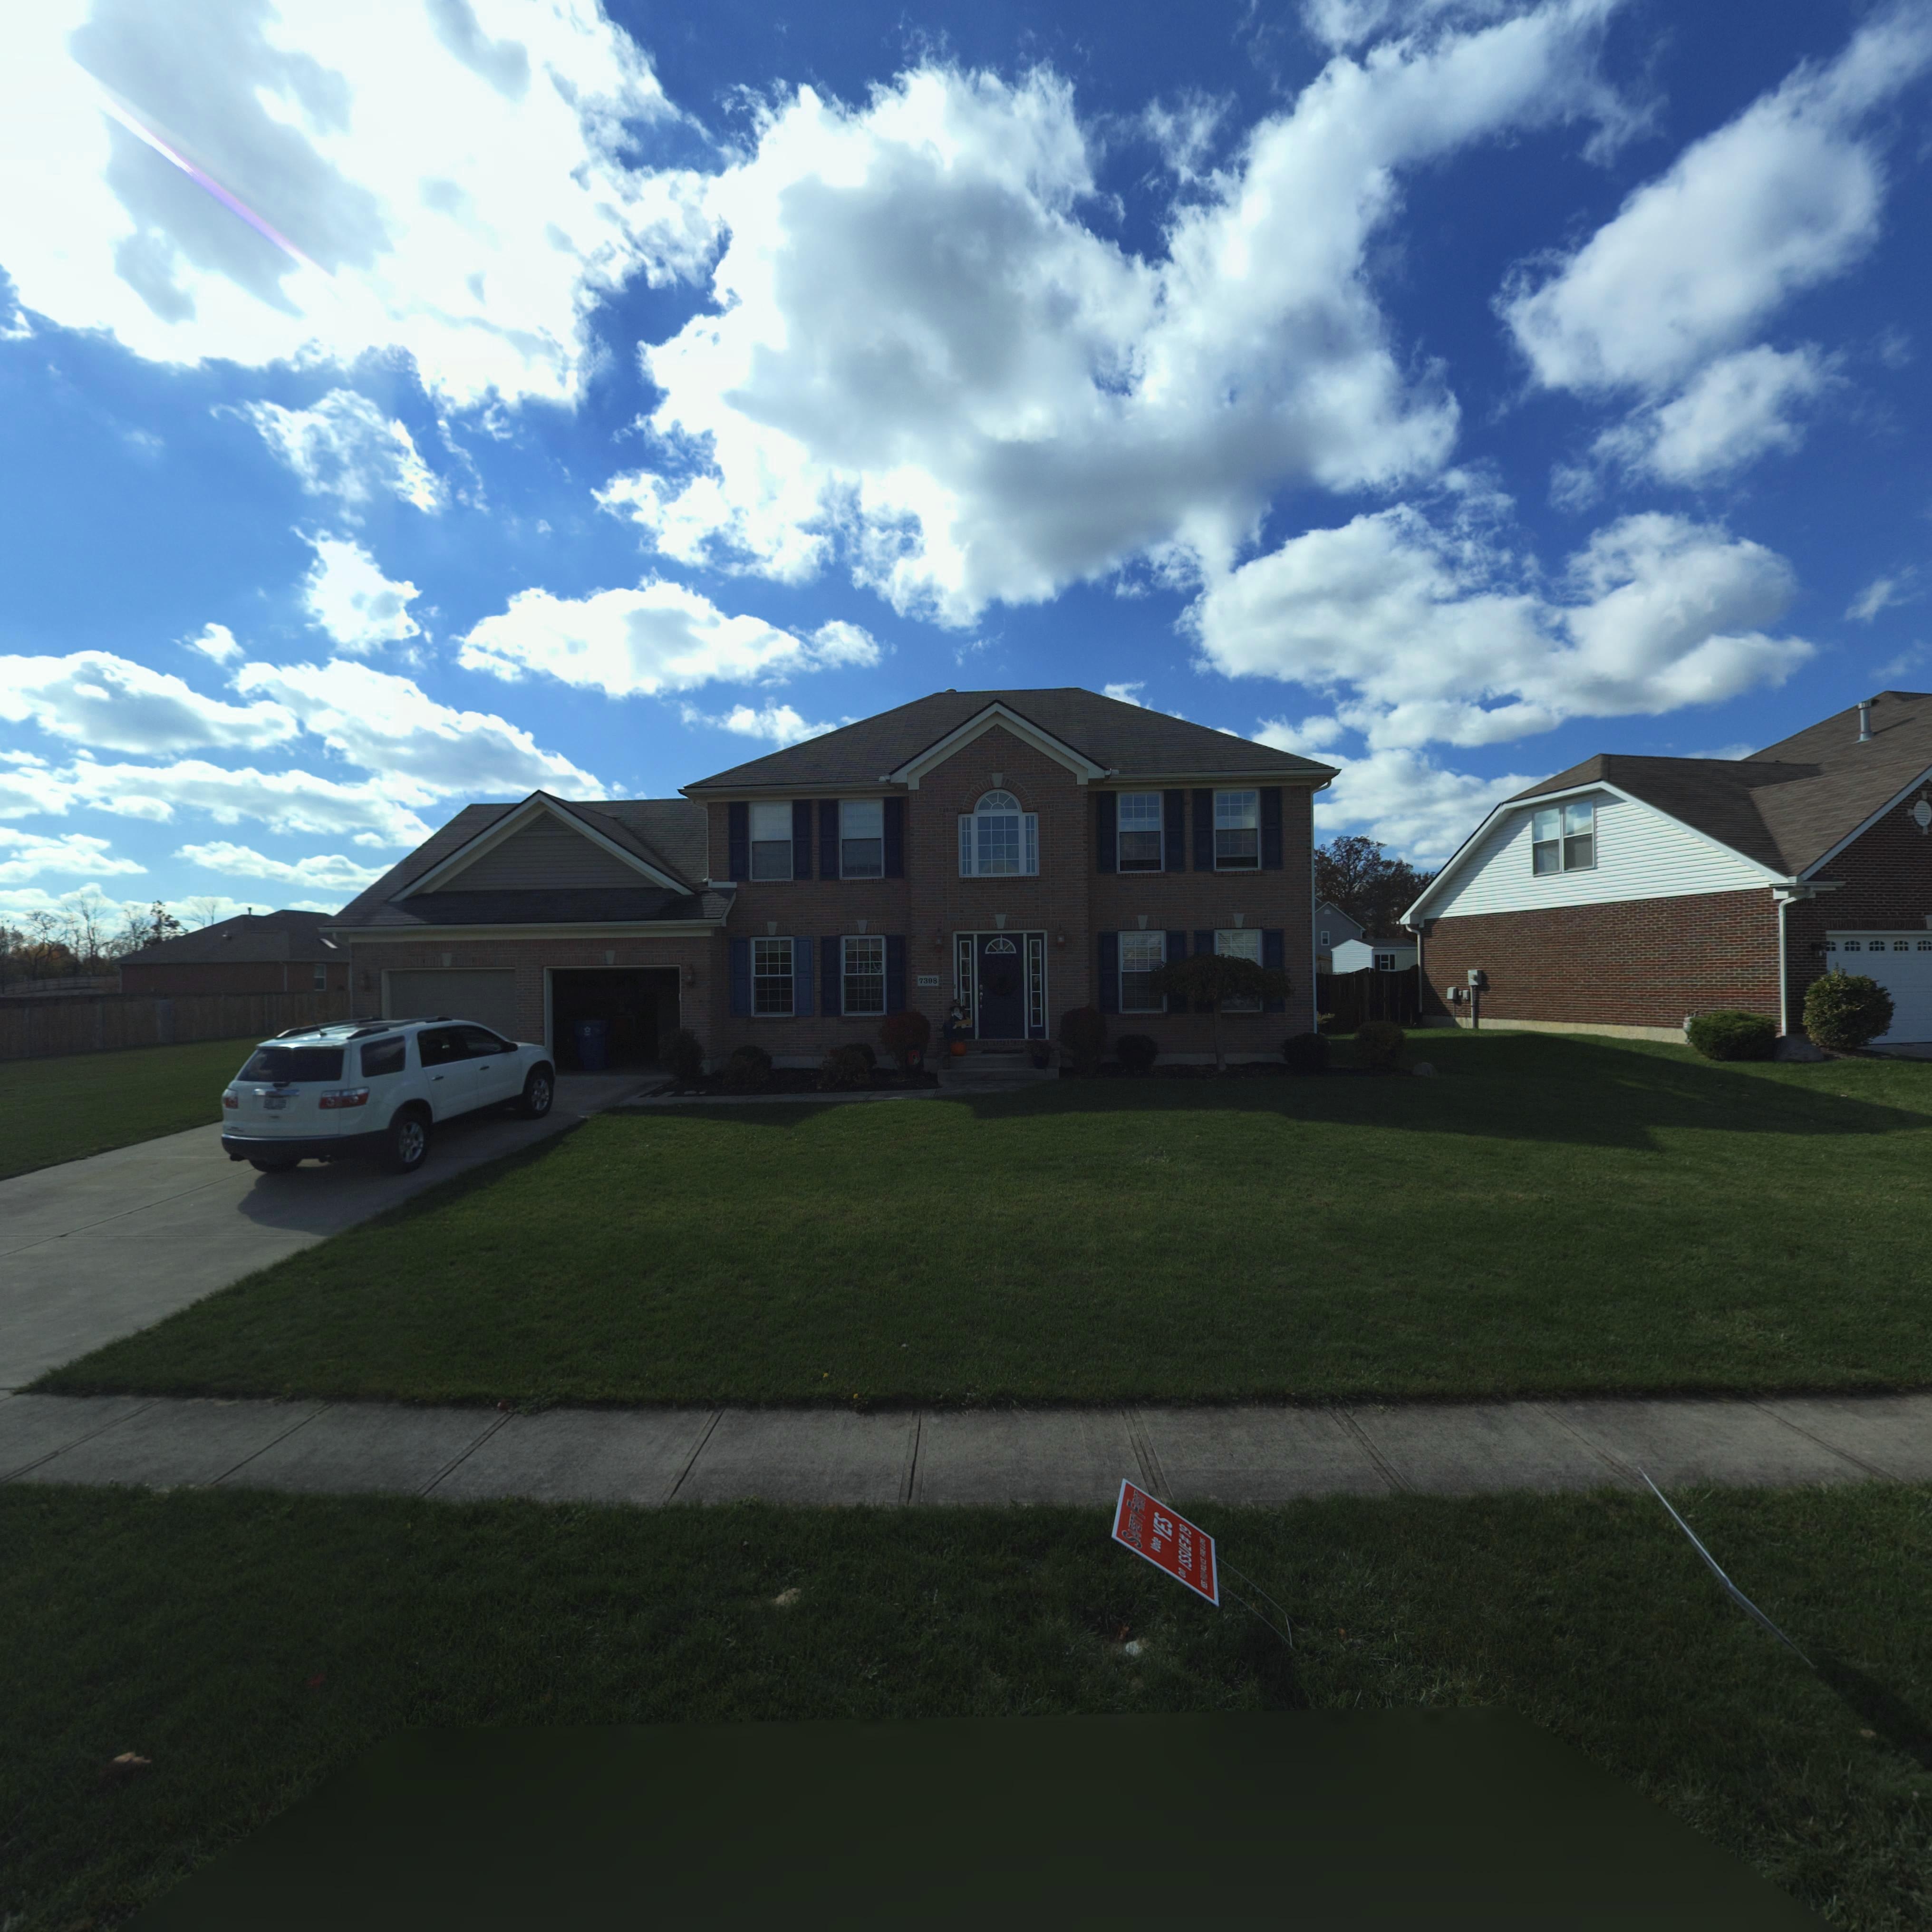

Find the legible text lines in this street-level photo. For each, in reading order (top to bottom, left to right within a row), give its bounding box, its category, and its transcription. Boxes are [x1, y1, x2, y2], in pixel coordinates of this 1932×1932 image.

[918, 977, 938, 985] StreetNumber: 7398